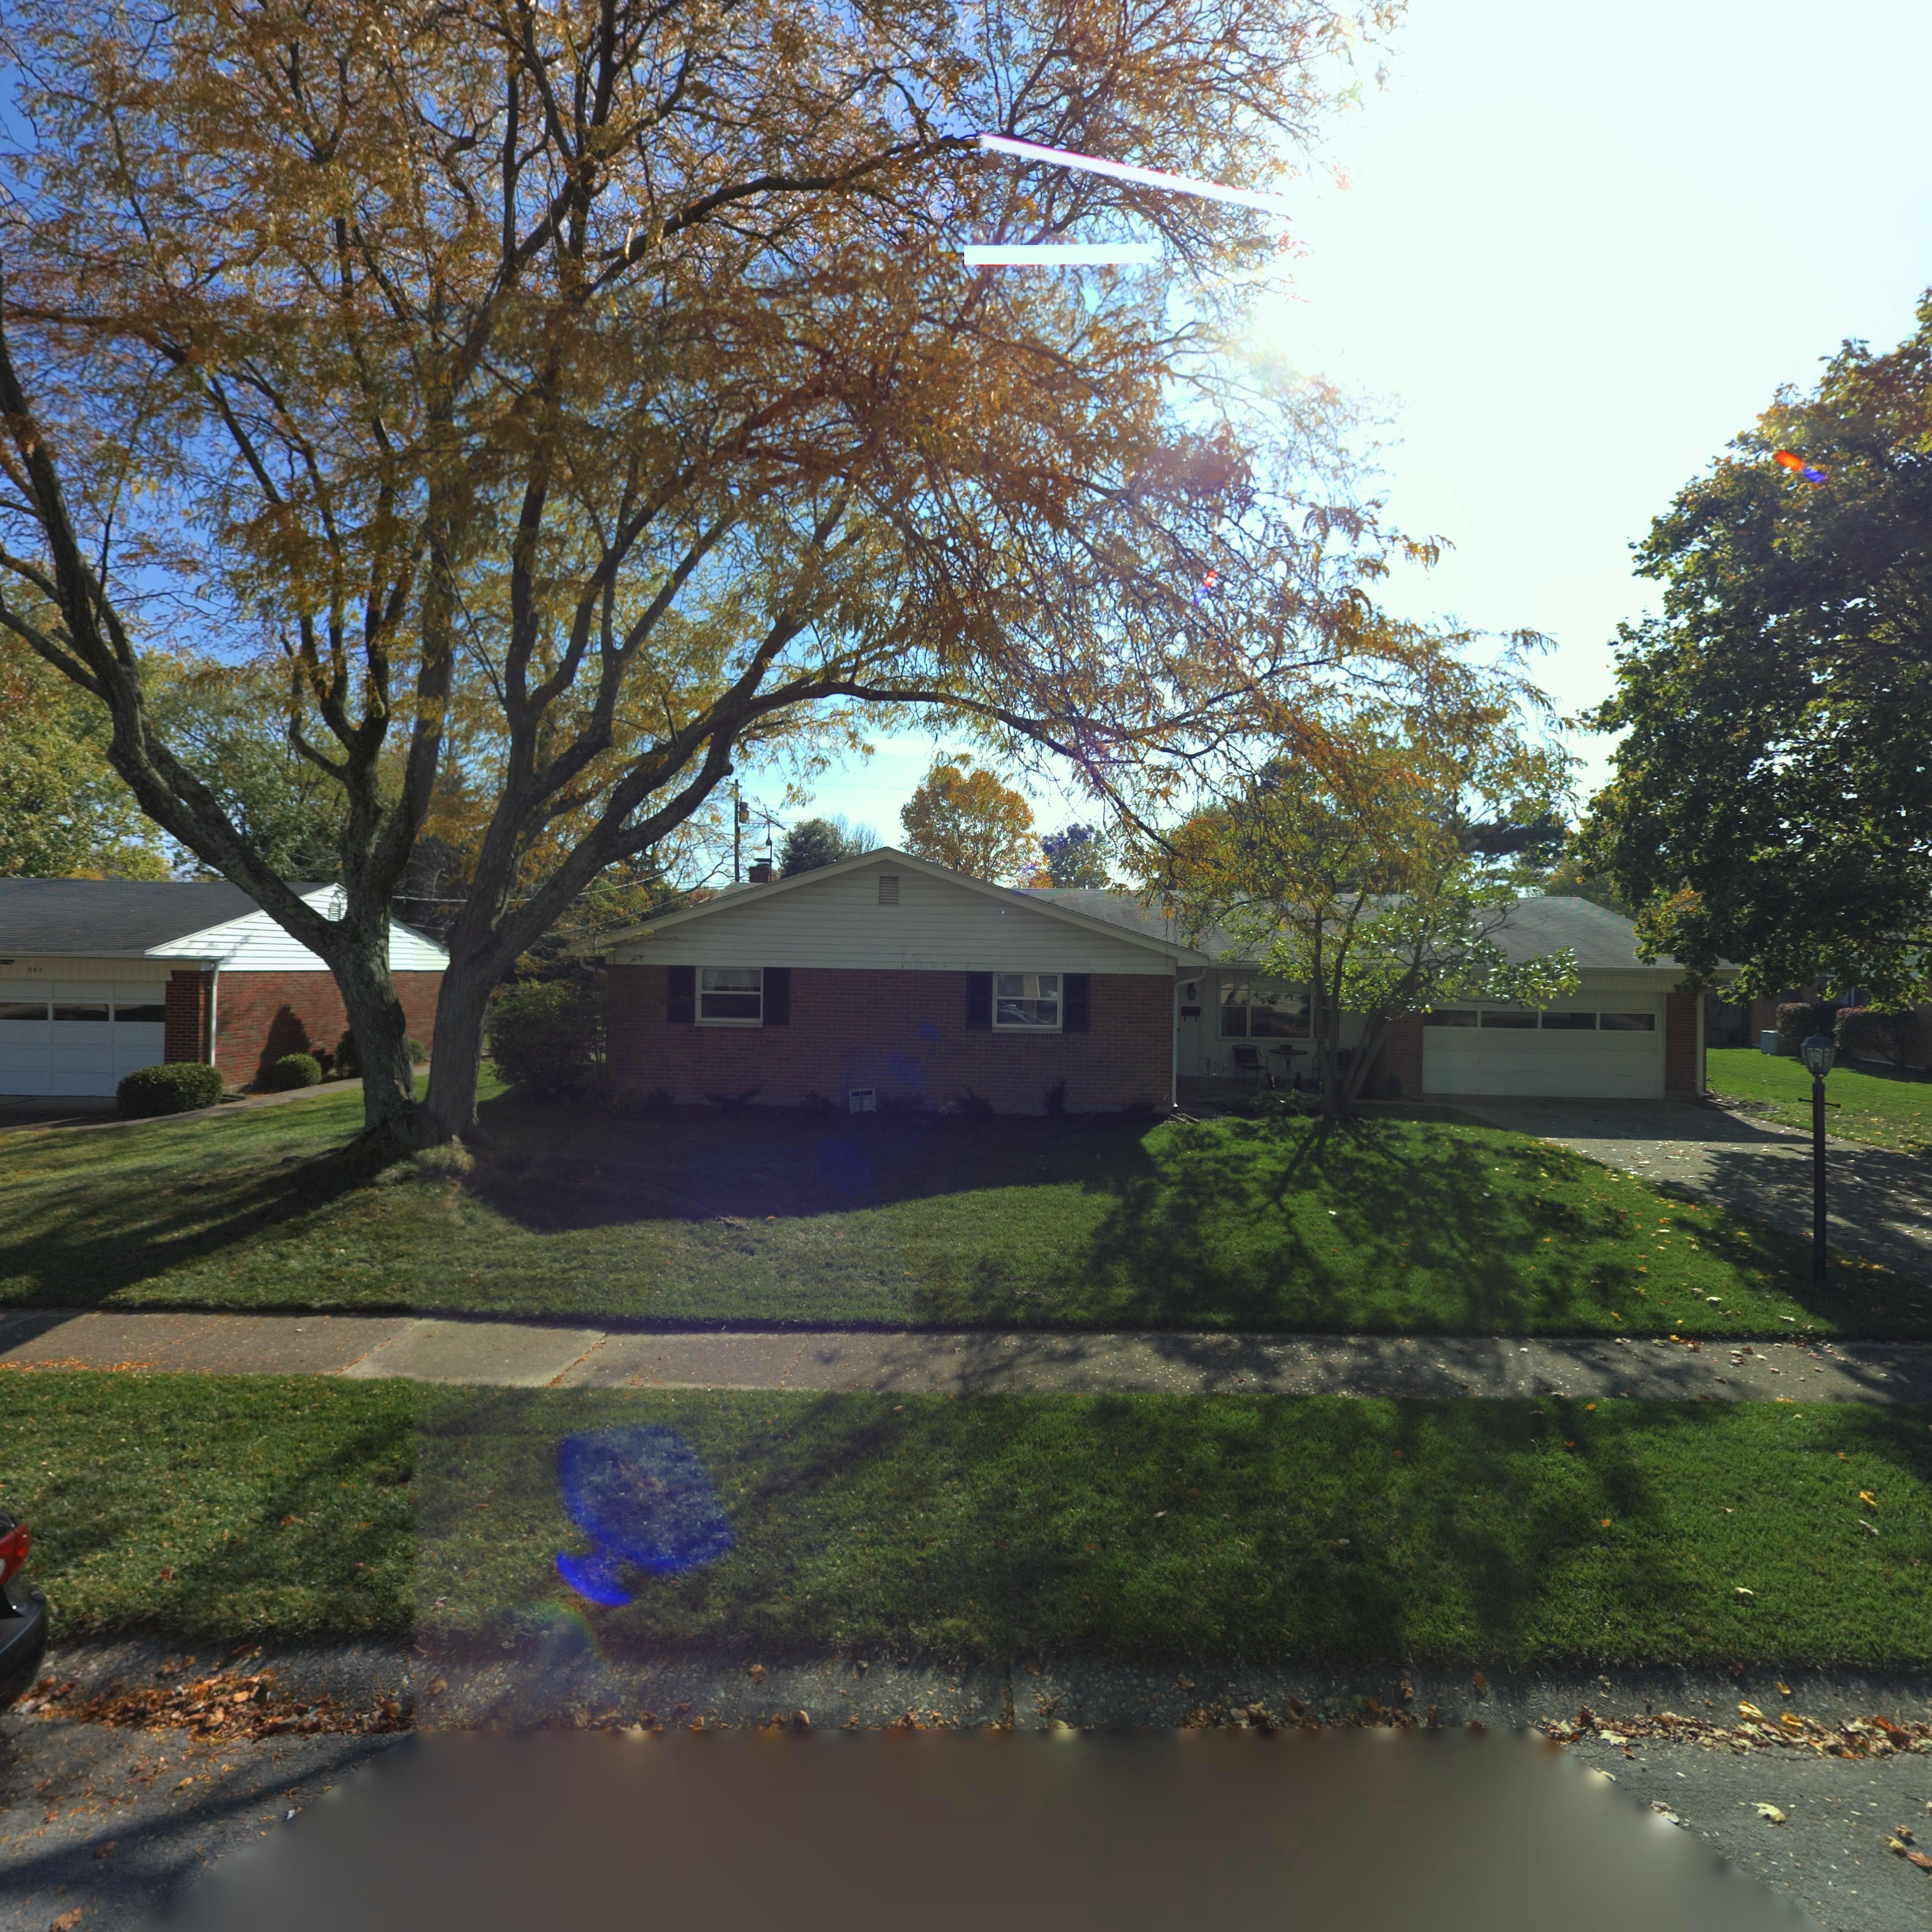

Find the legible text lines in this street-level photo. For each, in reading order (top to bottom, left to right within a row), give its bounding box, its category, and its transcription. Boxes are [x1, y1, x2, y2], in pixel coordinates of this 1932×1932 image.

[28, 966, 42, 973] StreetNumber: 96*